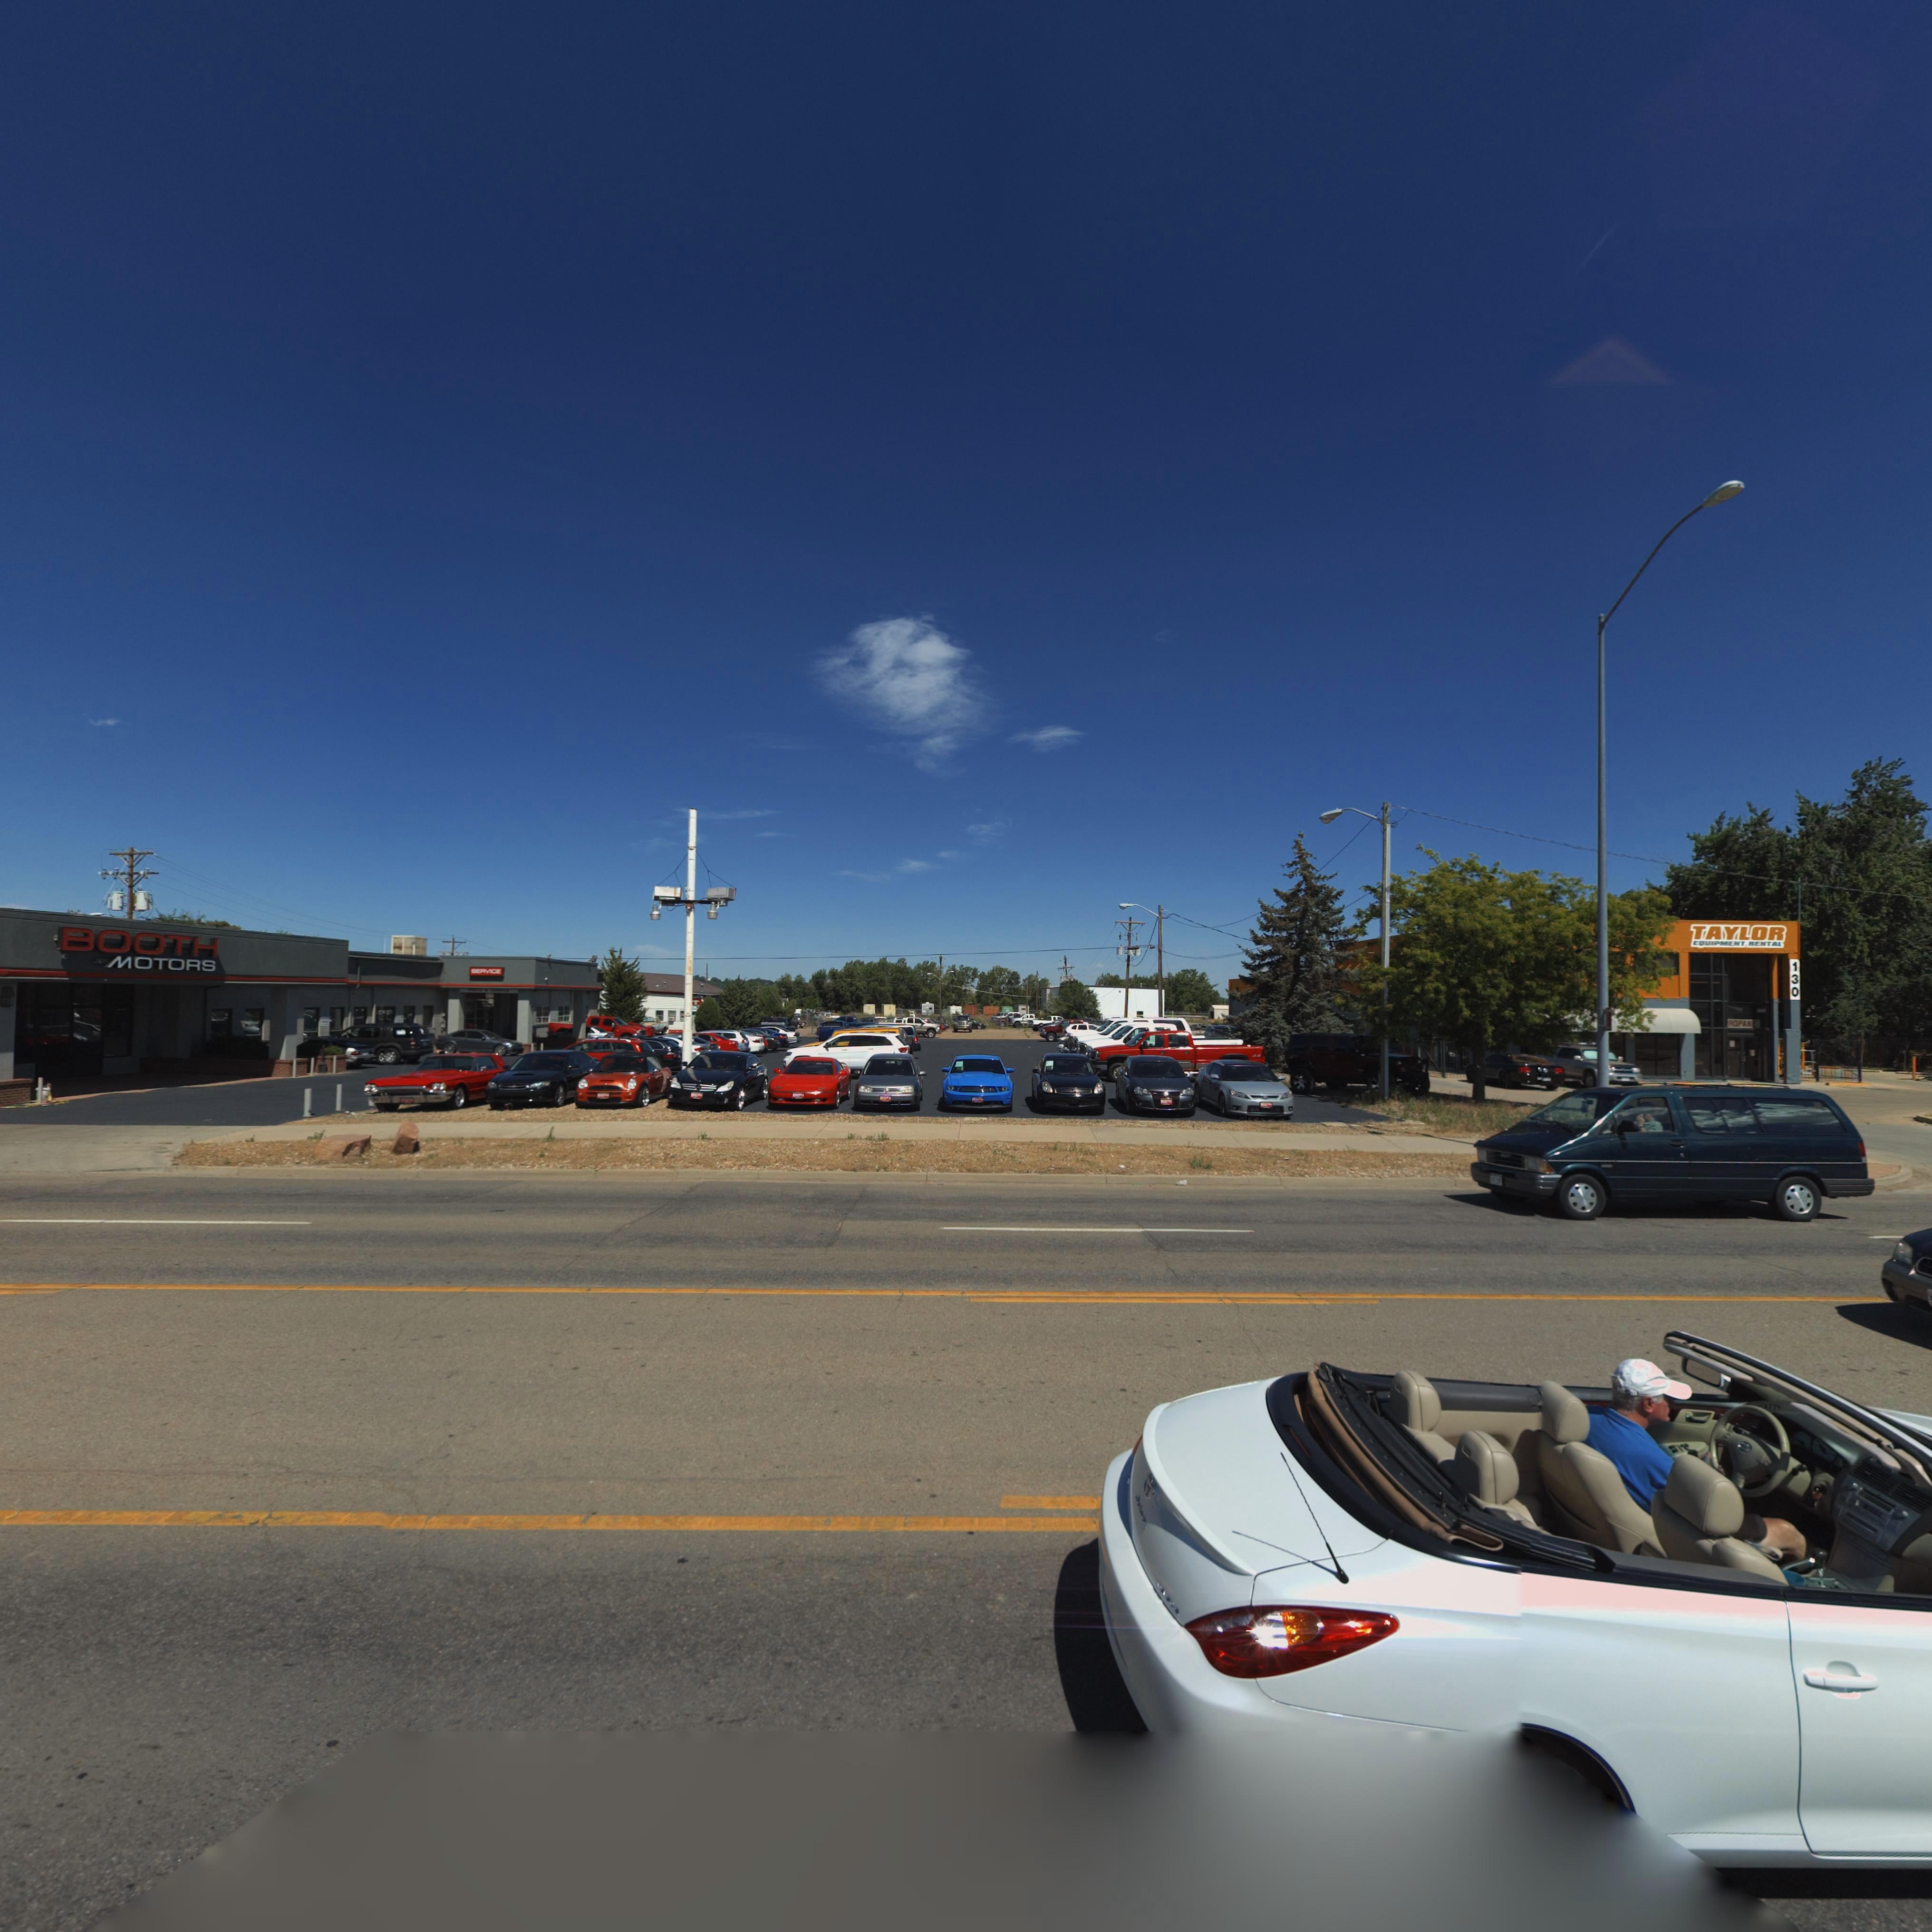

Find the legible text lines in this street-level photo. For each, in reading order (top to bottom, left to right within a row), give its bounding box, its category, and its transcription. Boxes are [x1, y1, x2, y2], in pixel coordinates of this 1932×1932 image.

[1691, 925, 1786, 941] BusinessName: TAYLOR
[59, 926, 220, 958] BusinessName: BOOTH
[1691, 940, 1782, 947] BusinessName: EQUIPMENT RENTAL
[104, 955, 216, 972] BusinessName: MOTORS
[1790, 961, 1798, 997] StreetNumber: 130